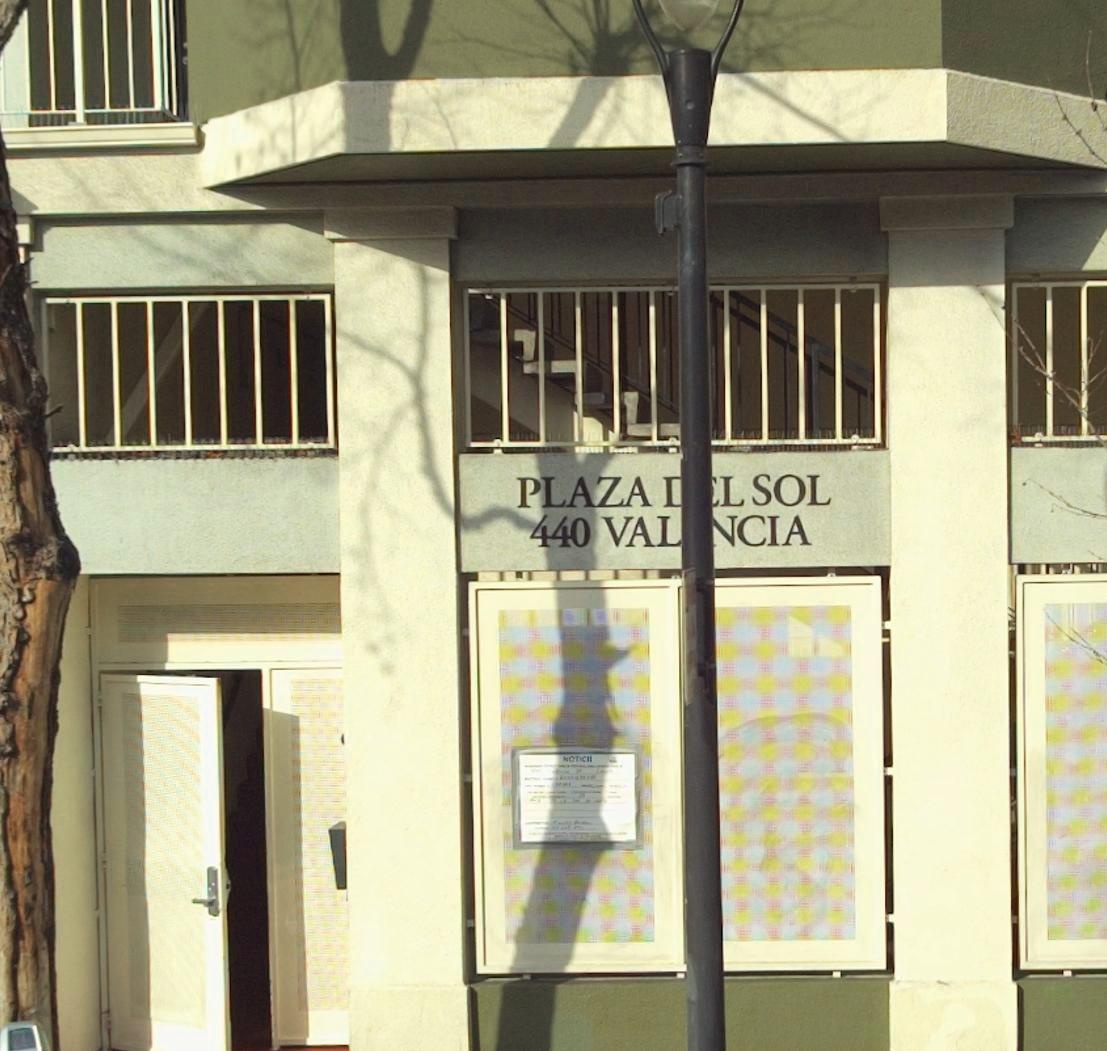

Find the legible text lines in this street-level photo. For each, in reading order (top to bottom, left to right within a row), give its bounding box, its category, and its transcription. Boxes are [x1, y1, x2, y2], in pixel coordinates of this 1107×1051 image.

[515, 474, 831, 510] BusinessName: PLAZA **L SOL
[528, 513, 591, 548] StreetNumber: 440
[598, 513, 813, 547] StreetName: VAL**CIA